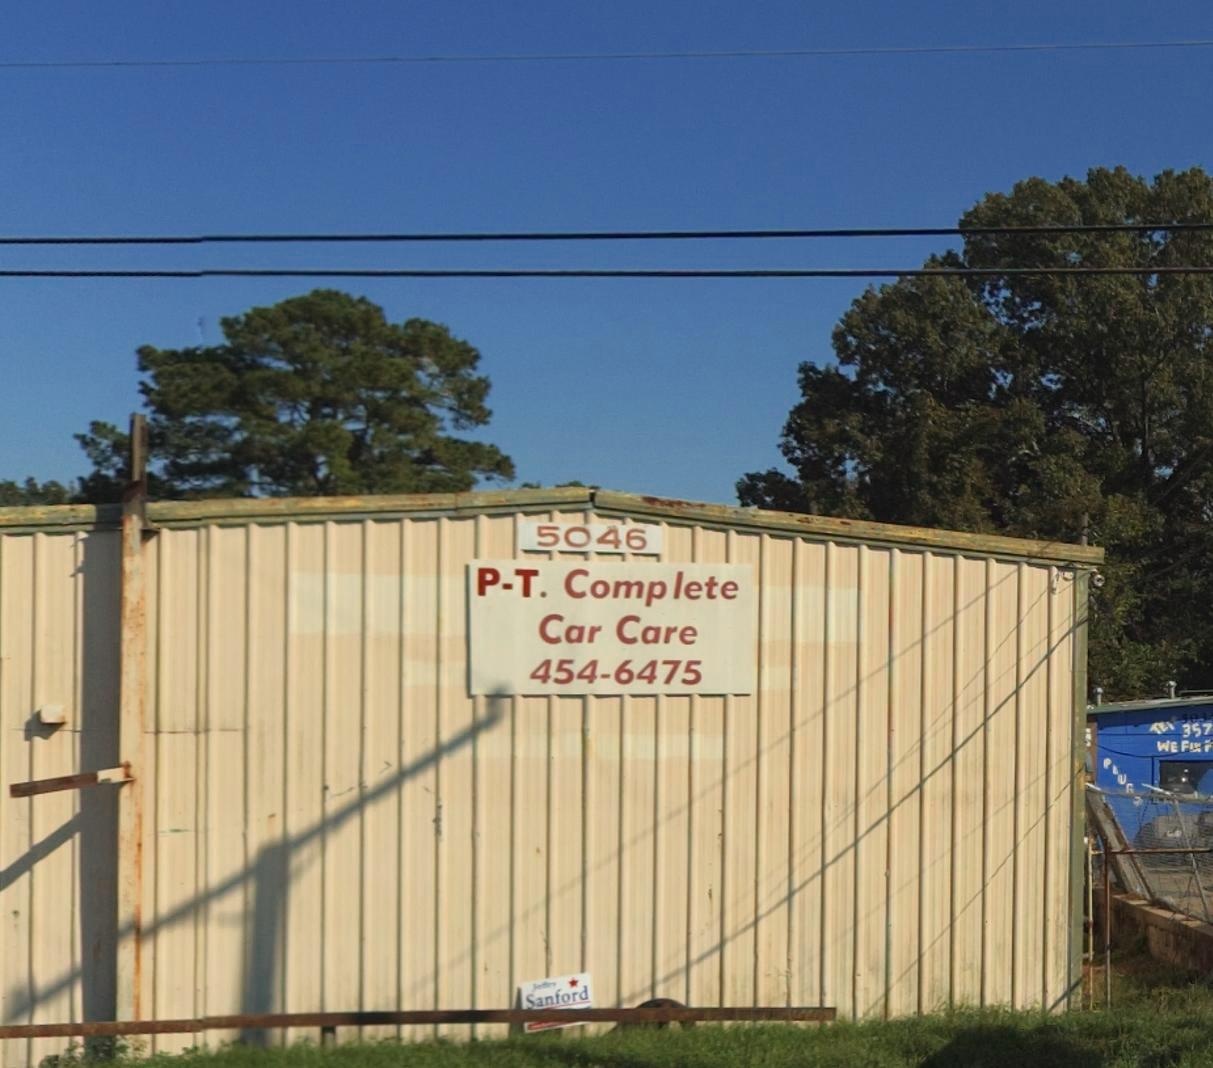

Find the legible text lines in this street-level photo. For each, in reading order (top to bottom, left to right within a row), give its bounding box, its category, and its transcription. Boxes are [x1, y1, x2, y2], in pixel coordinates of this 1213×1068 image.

[536, 524, 647, 551] StreetNumber: 5046
[476, 566, 740, 608] BusinessName: P-T. Complete
[538, 613, 699, 646] BusinessName: Car Care
[528, 658, 702, 686] None: 454-6475
[1180, 711, 1207, 724] None: 503
[1181, 722, 1213, 739] None: 357
[1156, 739, 1202, 753] None: WE FIX
[1102, 756, 1144, 808] None: PLU**
[525, 984, 589, 1011] None: Sanford